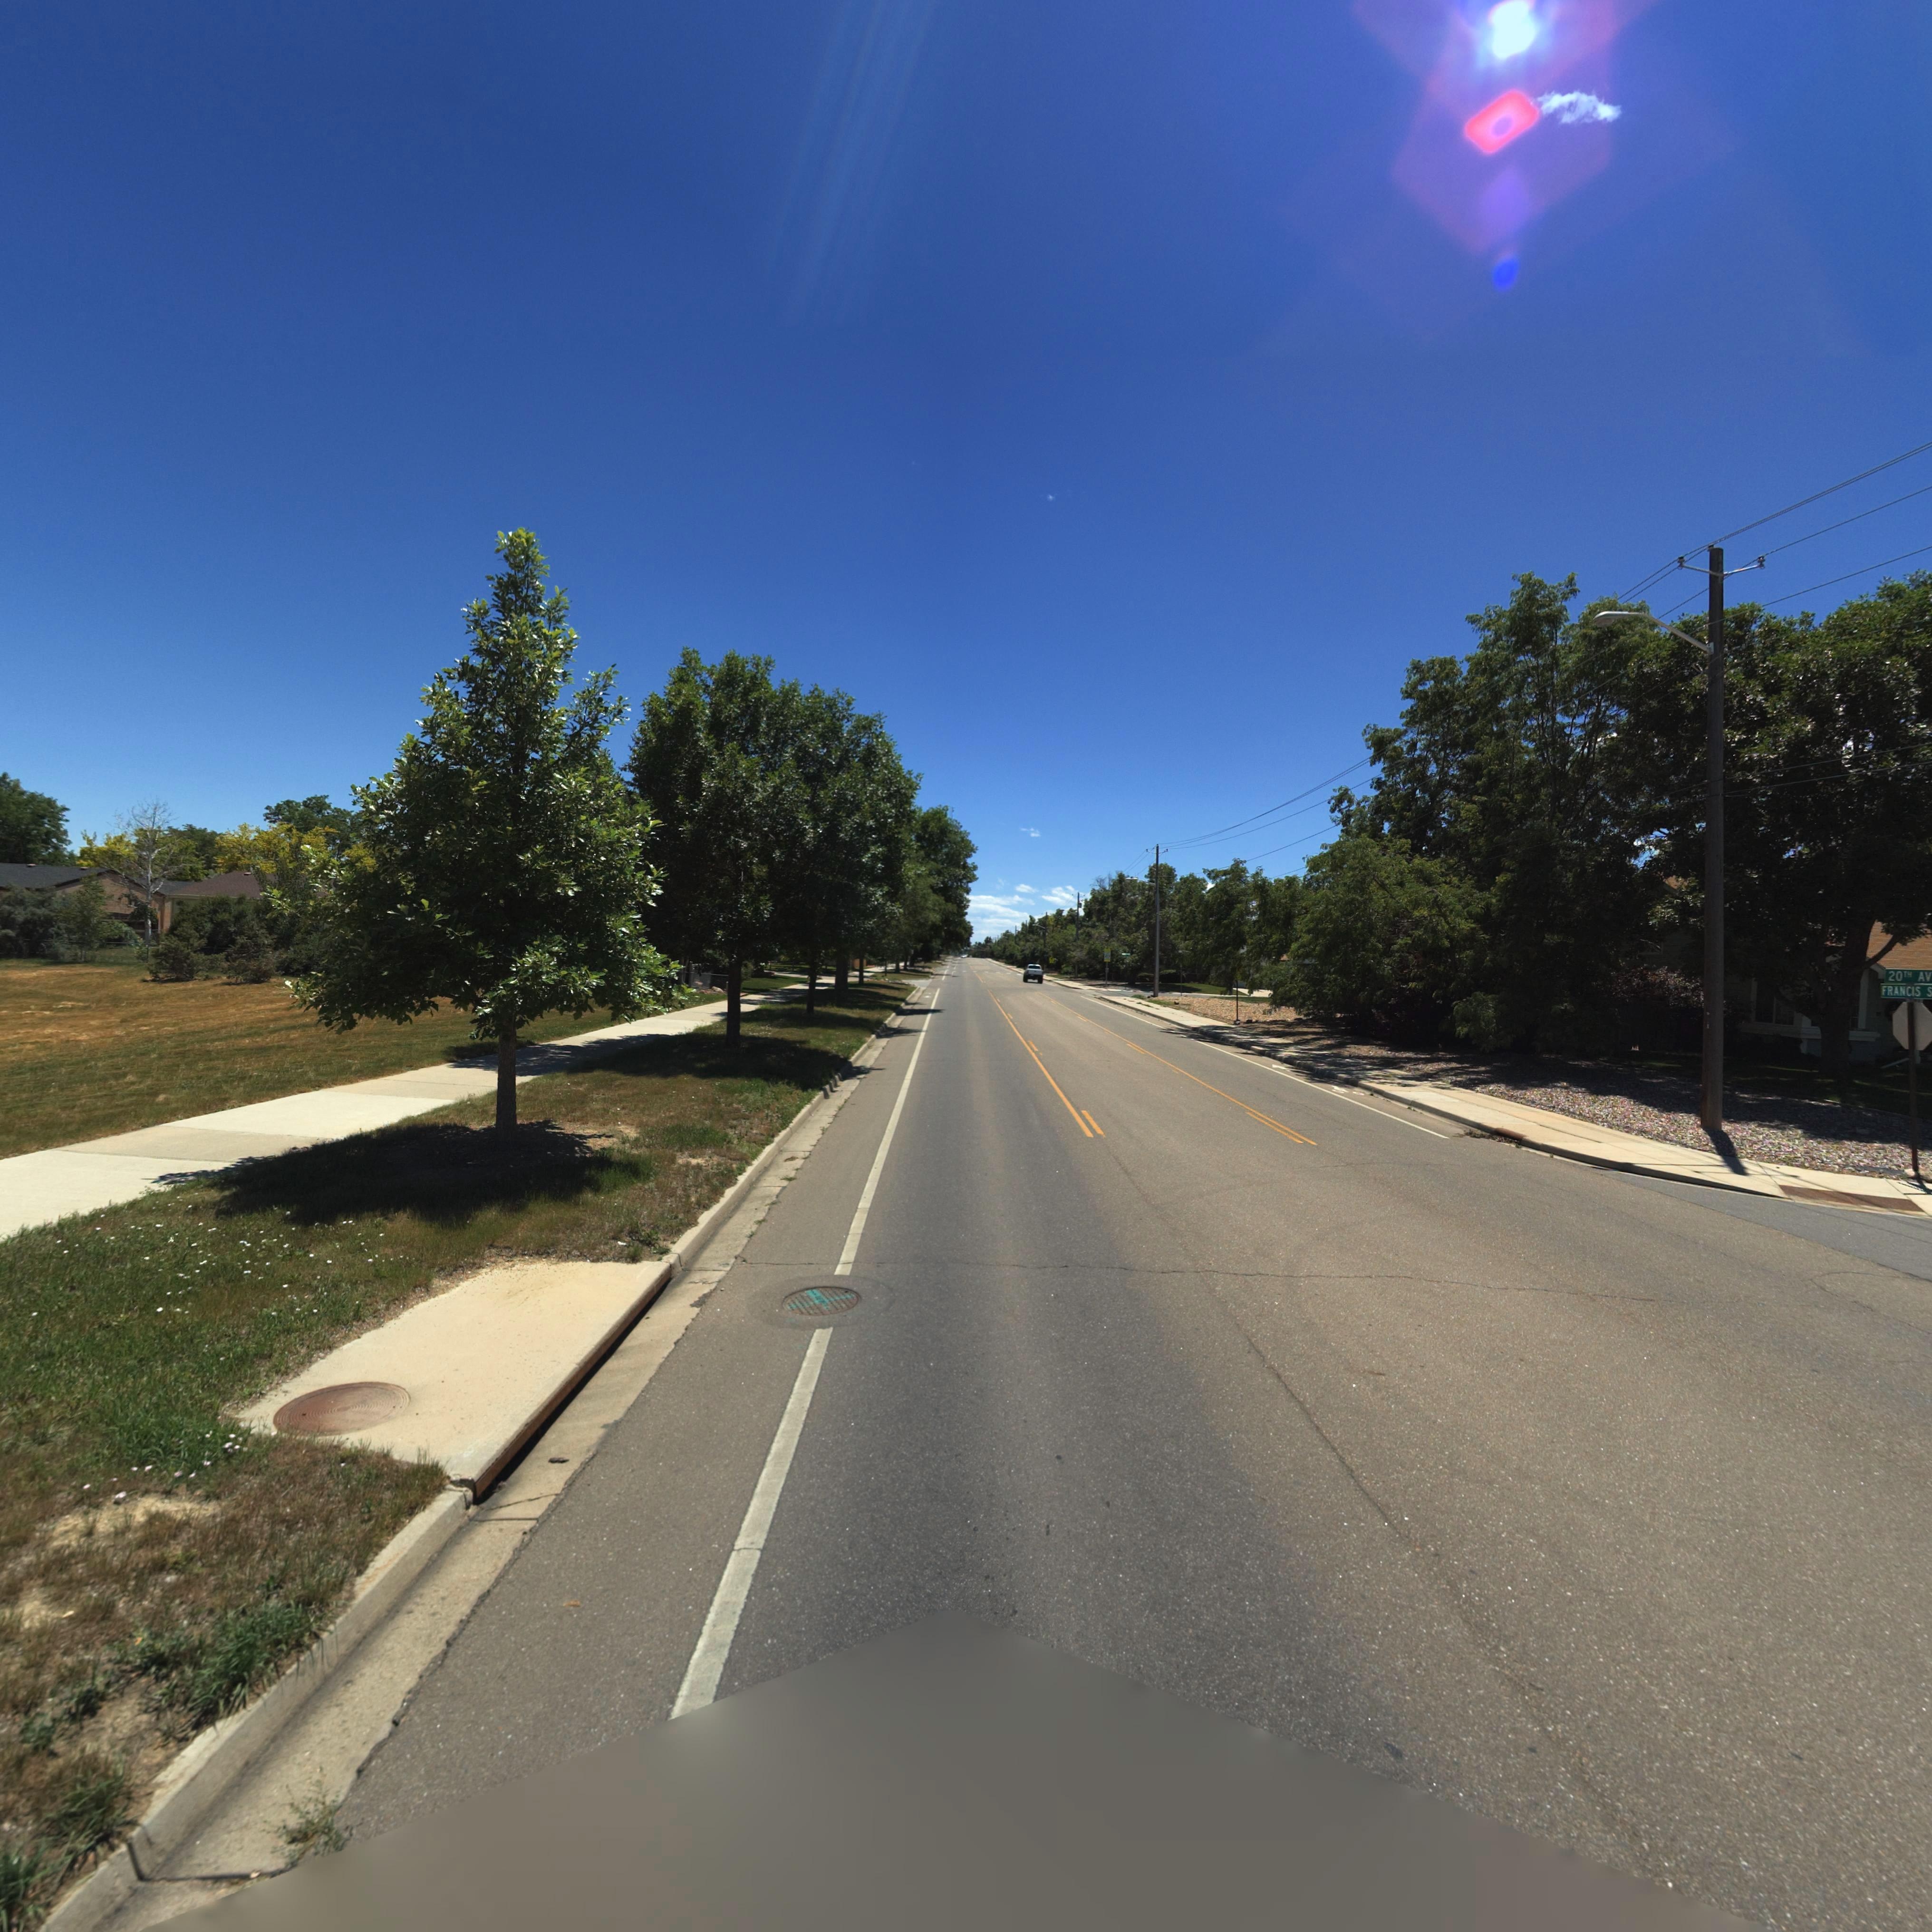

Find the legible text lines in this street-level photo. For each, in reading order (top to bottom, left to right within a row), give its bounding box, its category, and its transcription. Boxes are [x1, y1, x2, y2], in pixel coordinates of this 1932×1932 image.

[1887, 969, 1932, 983] StreetName: 20TH AV
[1880, 984, 1922, 998] StreetName: FRANCIS